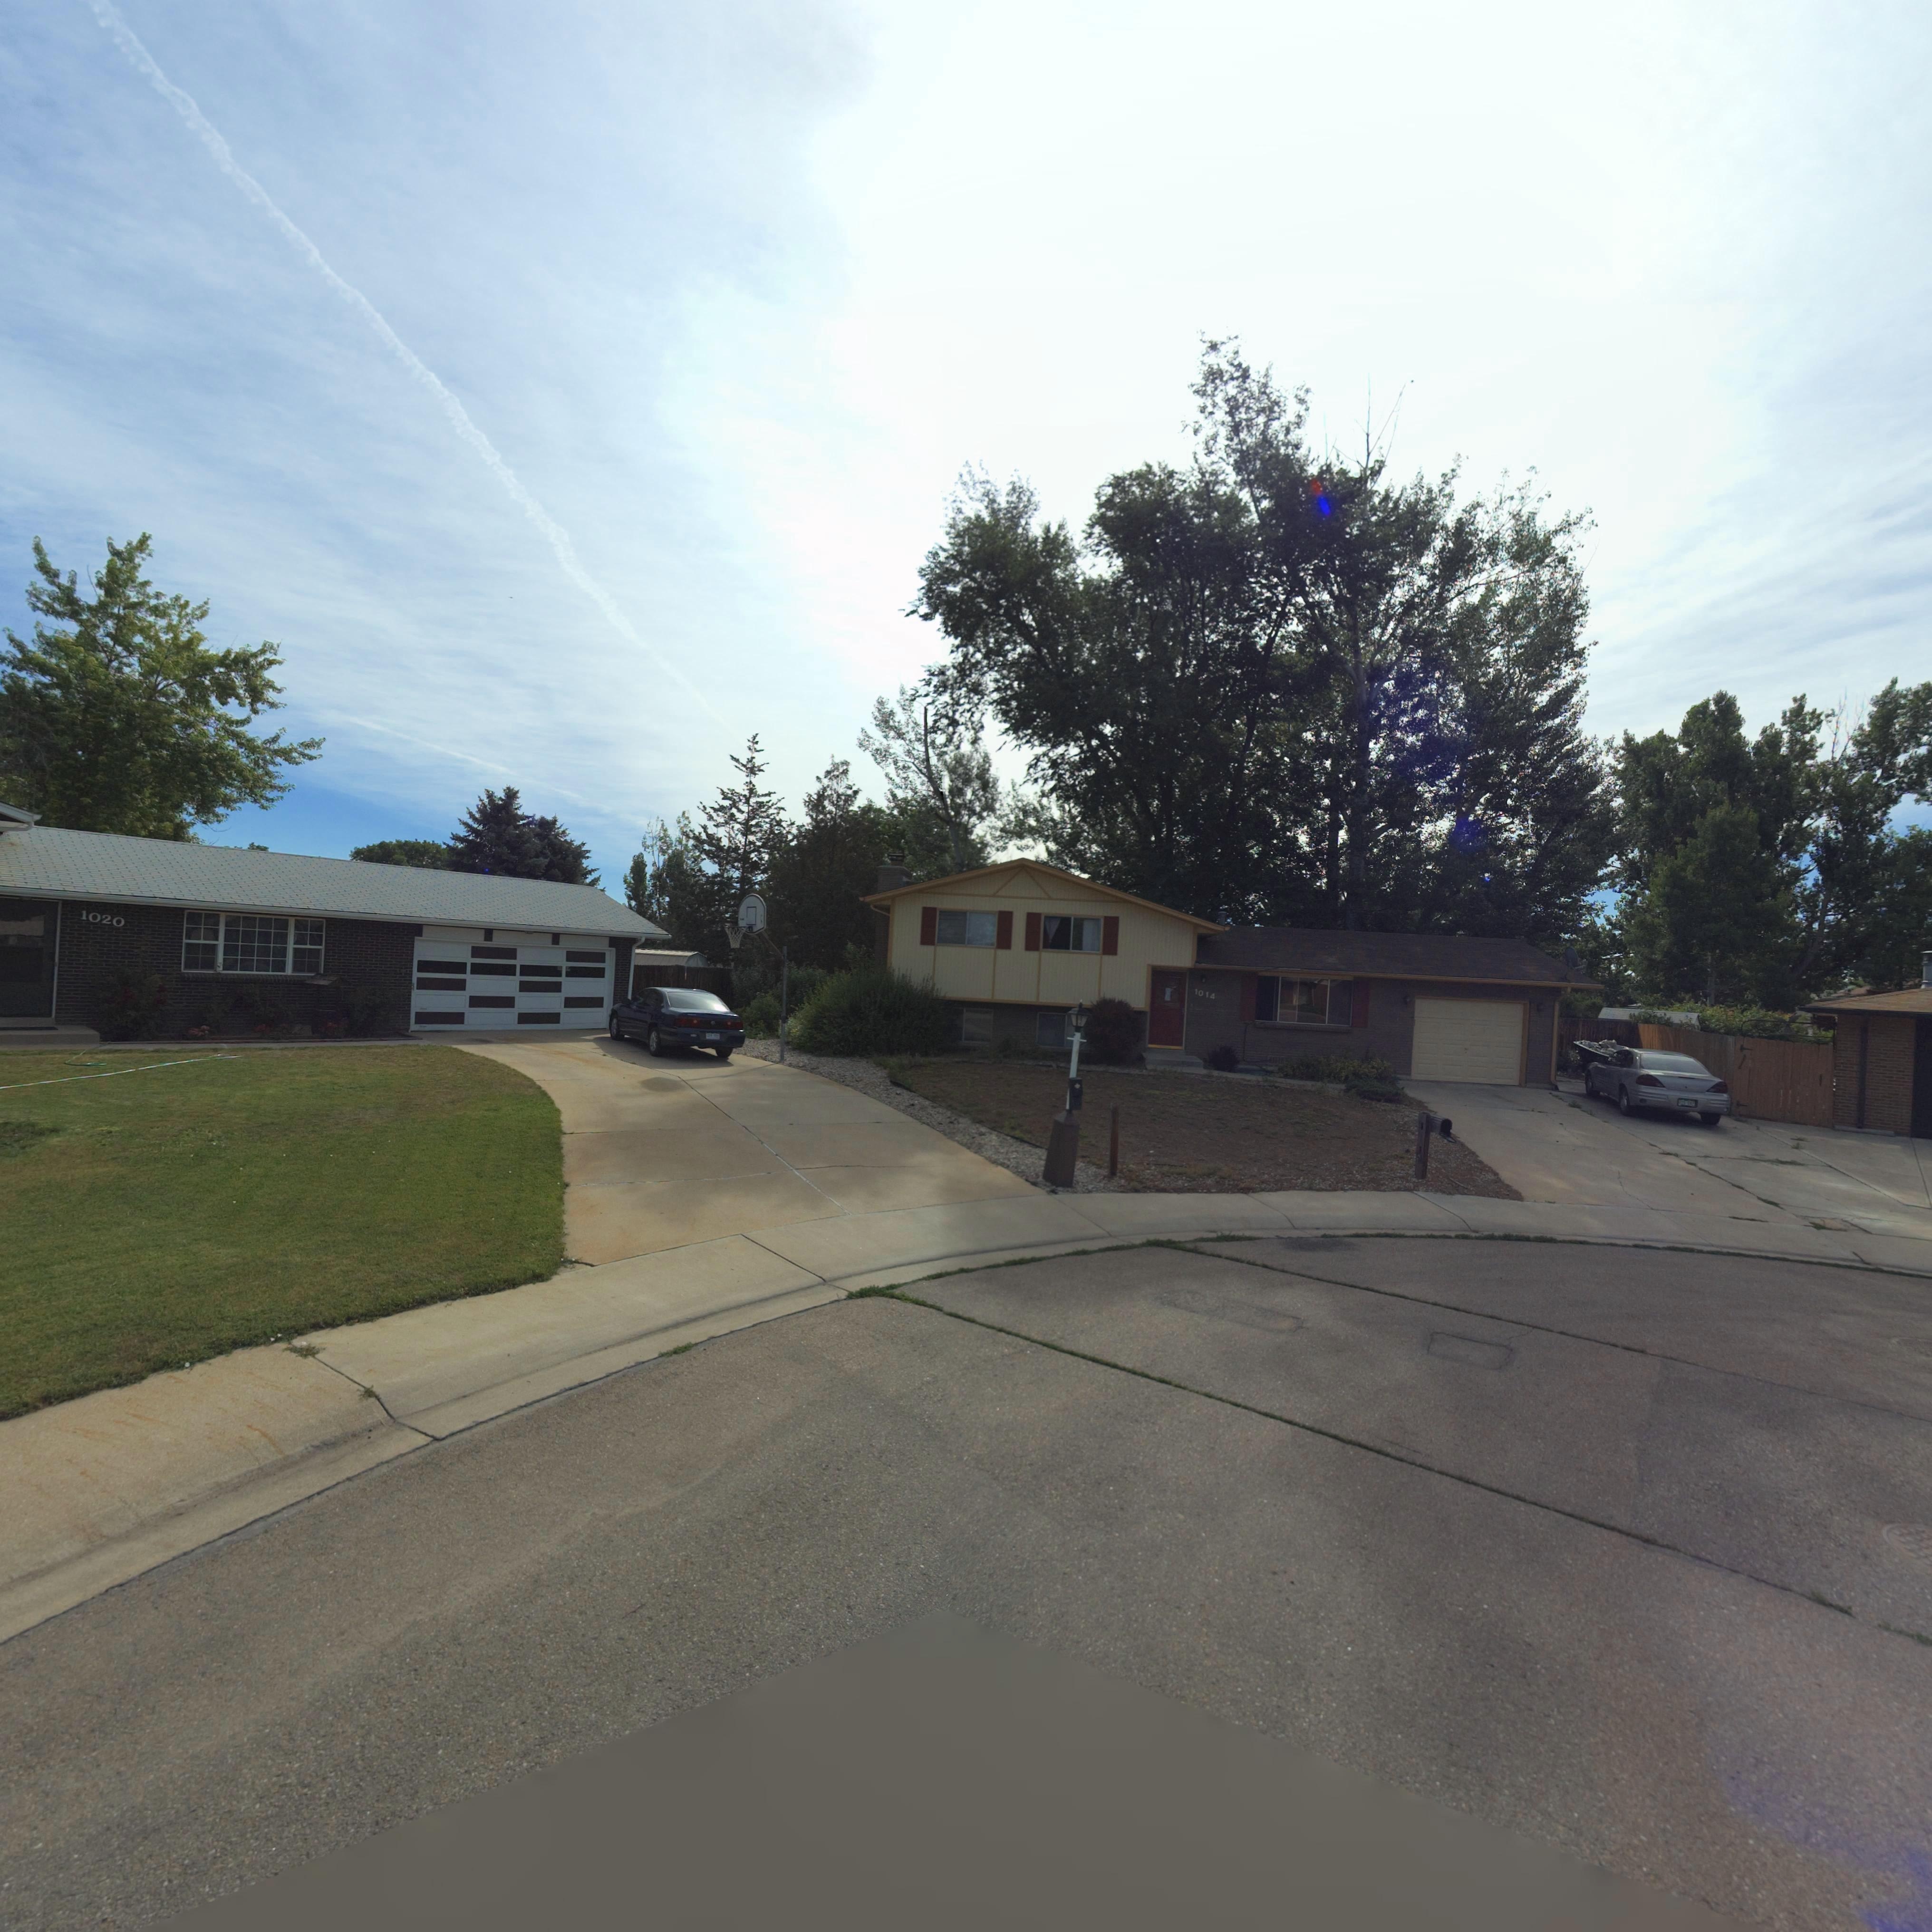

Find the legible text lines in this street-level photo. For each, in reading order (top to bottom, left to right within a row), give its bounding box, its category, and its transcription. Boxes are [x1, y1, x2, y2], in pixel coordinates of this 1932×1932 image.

[80, 910, 125, 927] StreetNumber: 1020
[1194, 988, 1215, 1000] StreetNumber: 1014